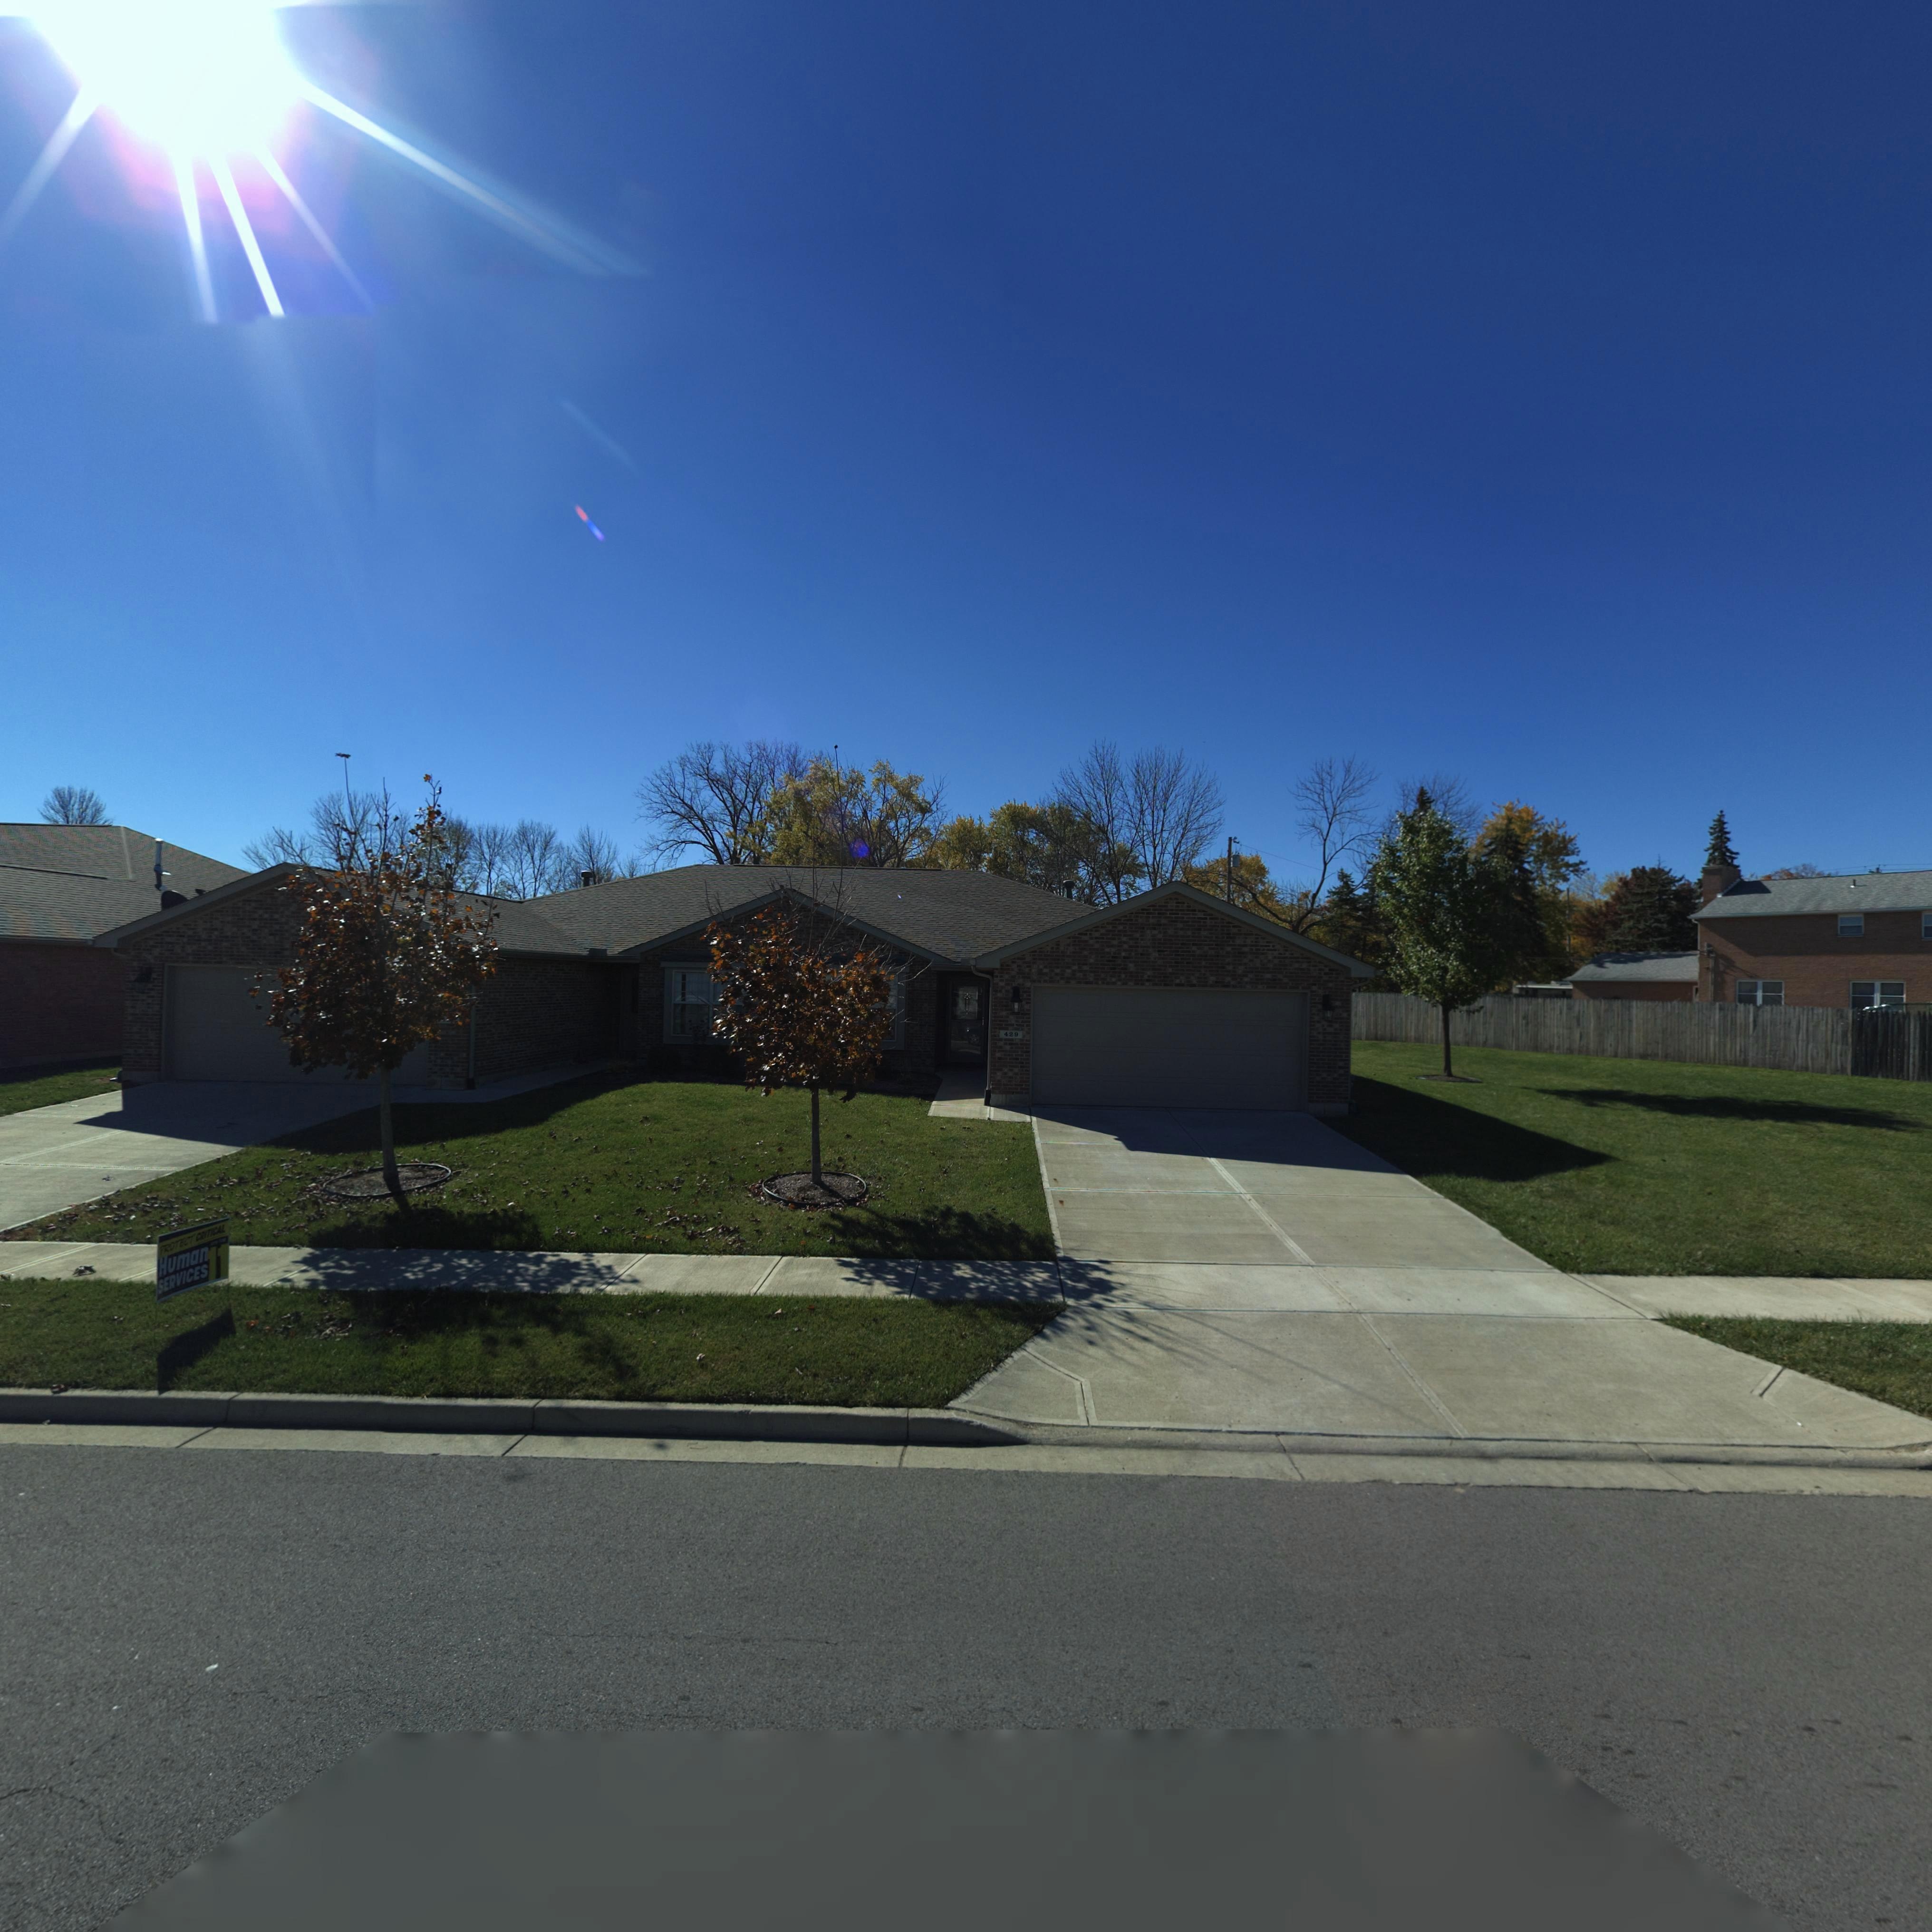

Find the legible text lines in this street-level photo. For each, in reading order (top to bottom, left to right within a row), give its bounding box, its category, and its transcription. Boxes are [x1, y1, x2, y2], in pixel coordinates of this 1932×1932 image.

[1003, 1031, 1019, 1038] StreetNumber: 429